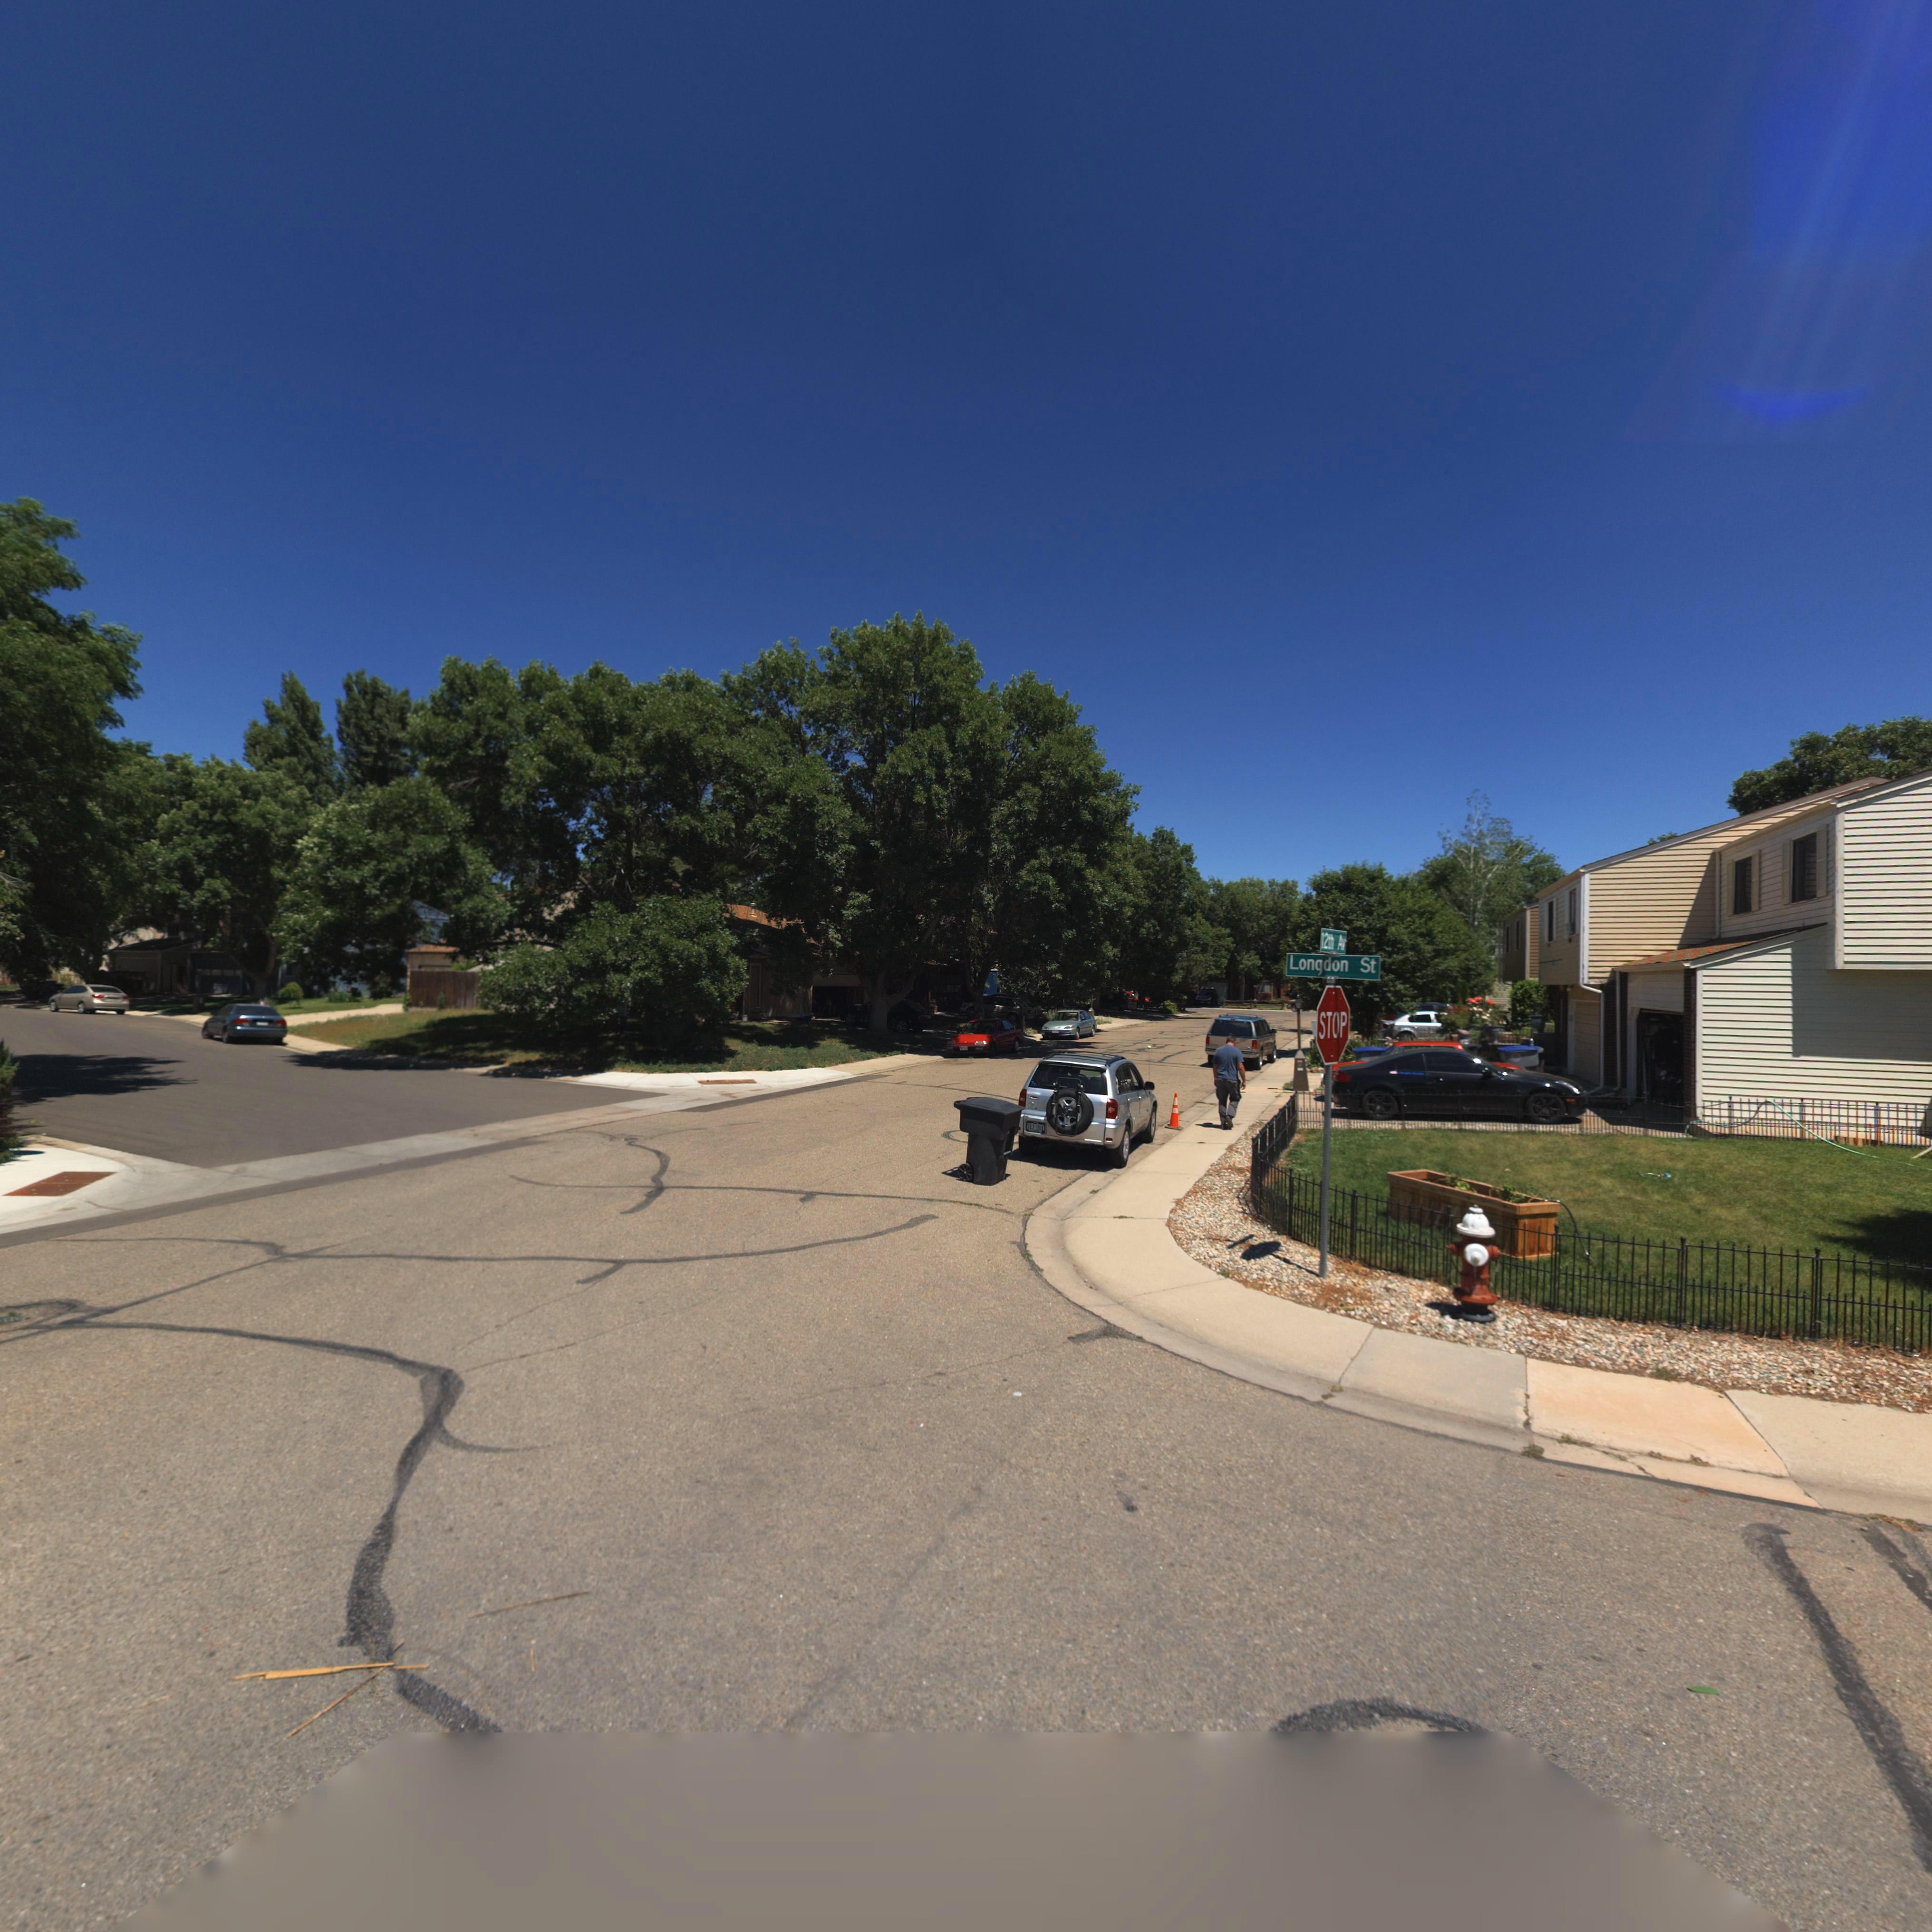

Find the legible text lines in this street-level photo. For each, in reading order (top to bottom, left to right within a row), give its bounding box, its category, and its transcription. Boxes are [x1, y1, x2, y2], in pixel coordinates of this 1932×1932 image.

[1321, 932, 1346, 951] StreetName: 12th Av
[1290, 955, 1377, 976] StreetName: Longdon St